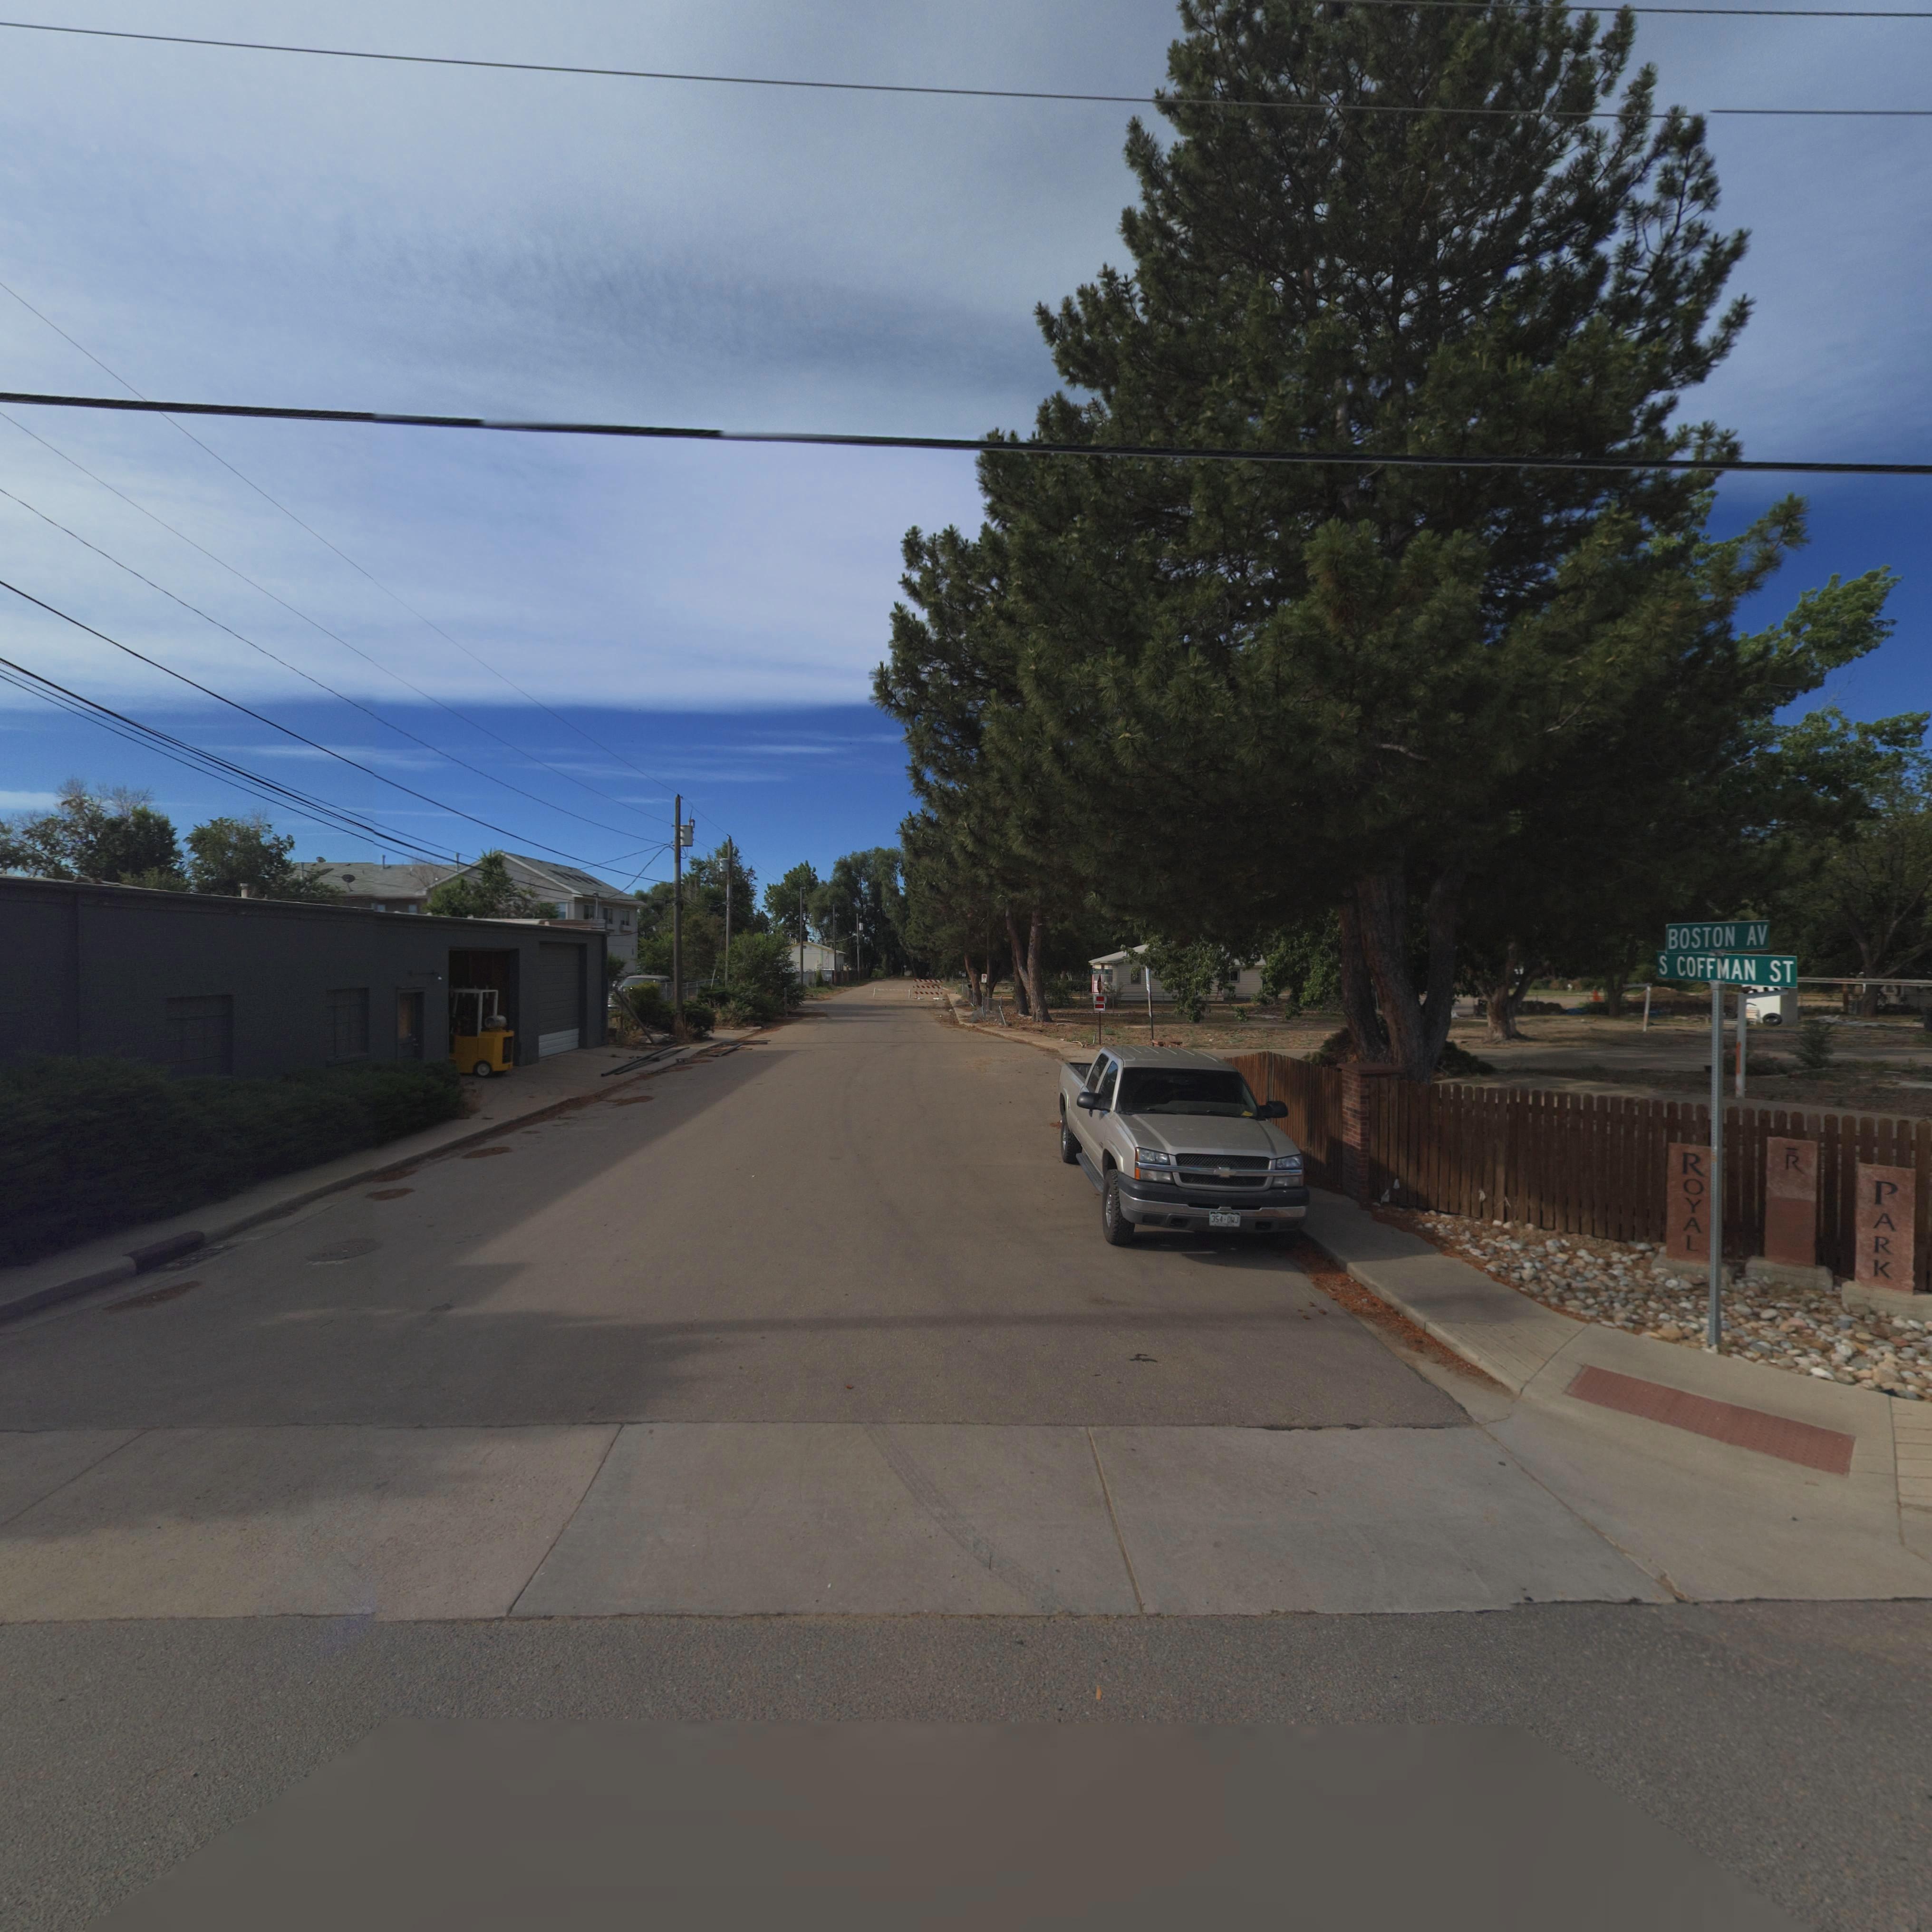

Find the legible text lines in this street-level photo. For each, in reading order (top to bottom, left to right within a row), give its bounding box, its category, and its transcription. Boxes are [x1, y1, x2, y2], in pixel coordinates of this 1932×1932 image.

[1668, 925, 1768, 949] StreetName: BOSTON AV
[1092, 970, 1106, 974] StreetName: MO**LE
[1658, 955, 1794, 983] StreetName: S COFFMAN ST